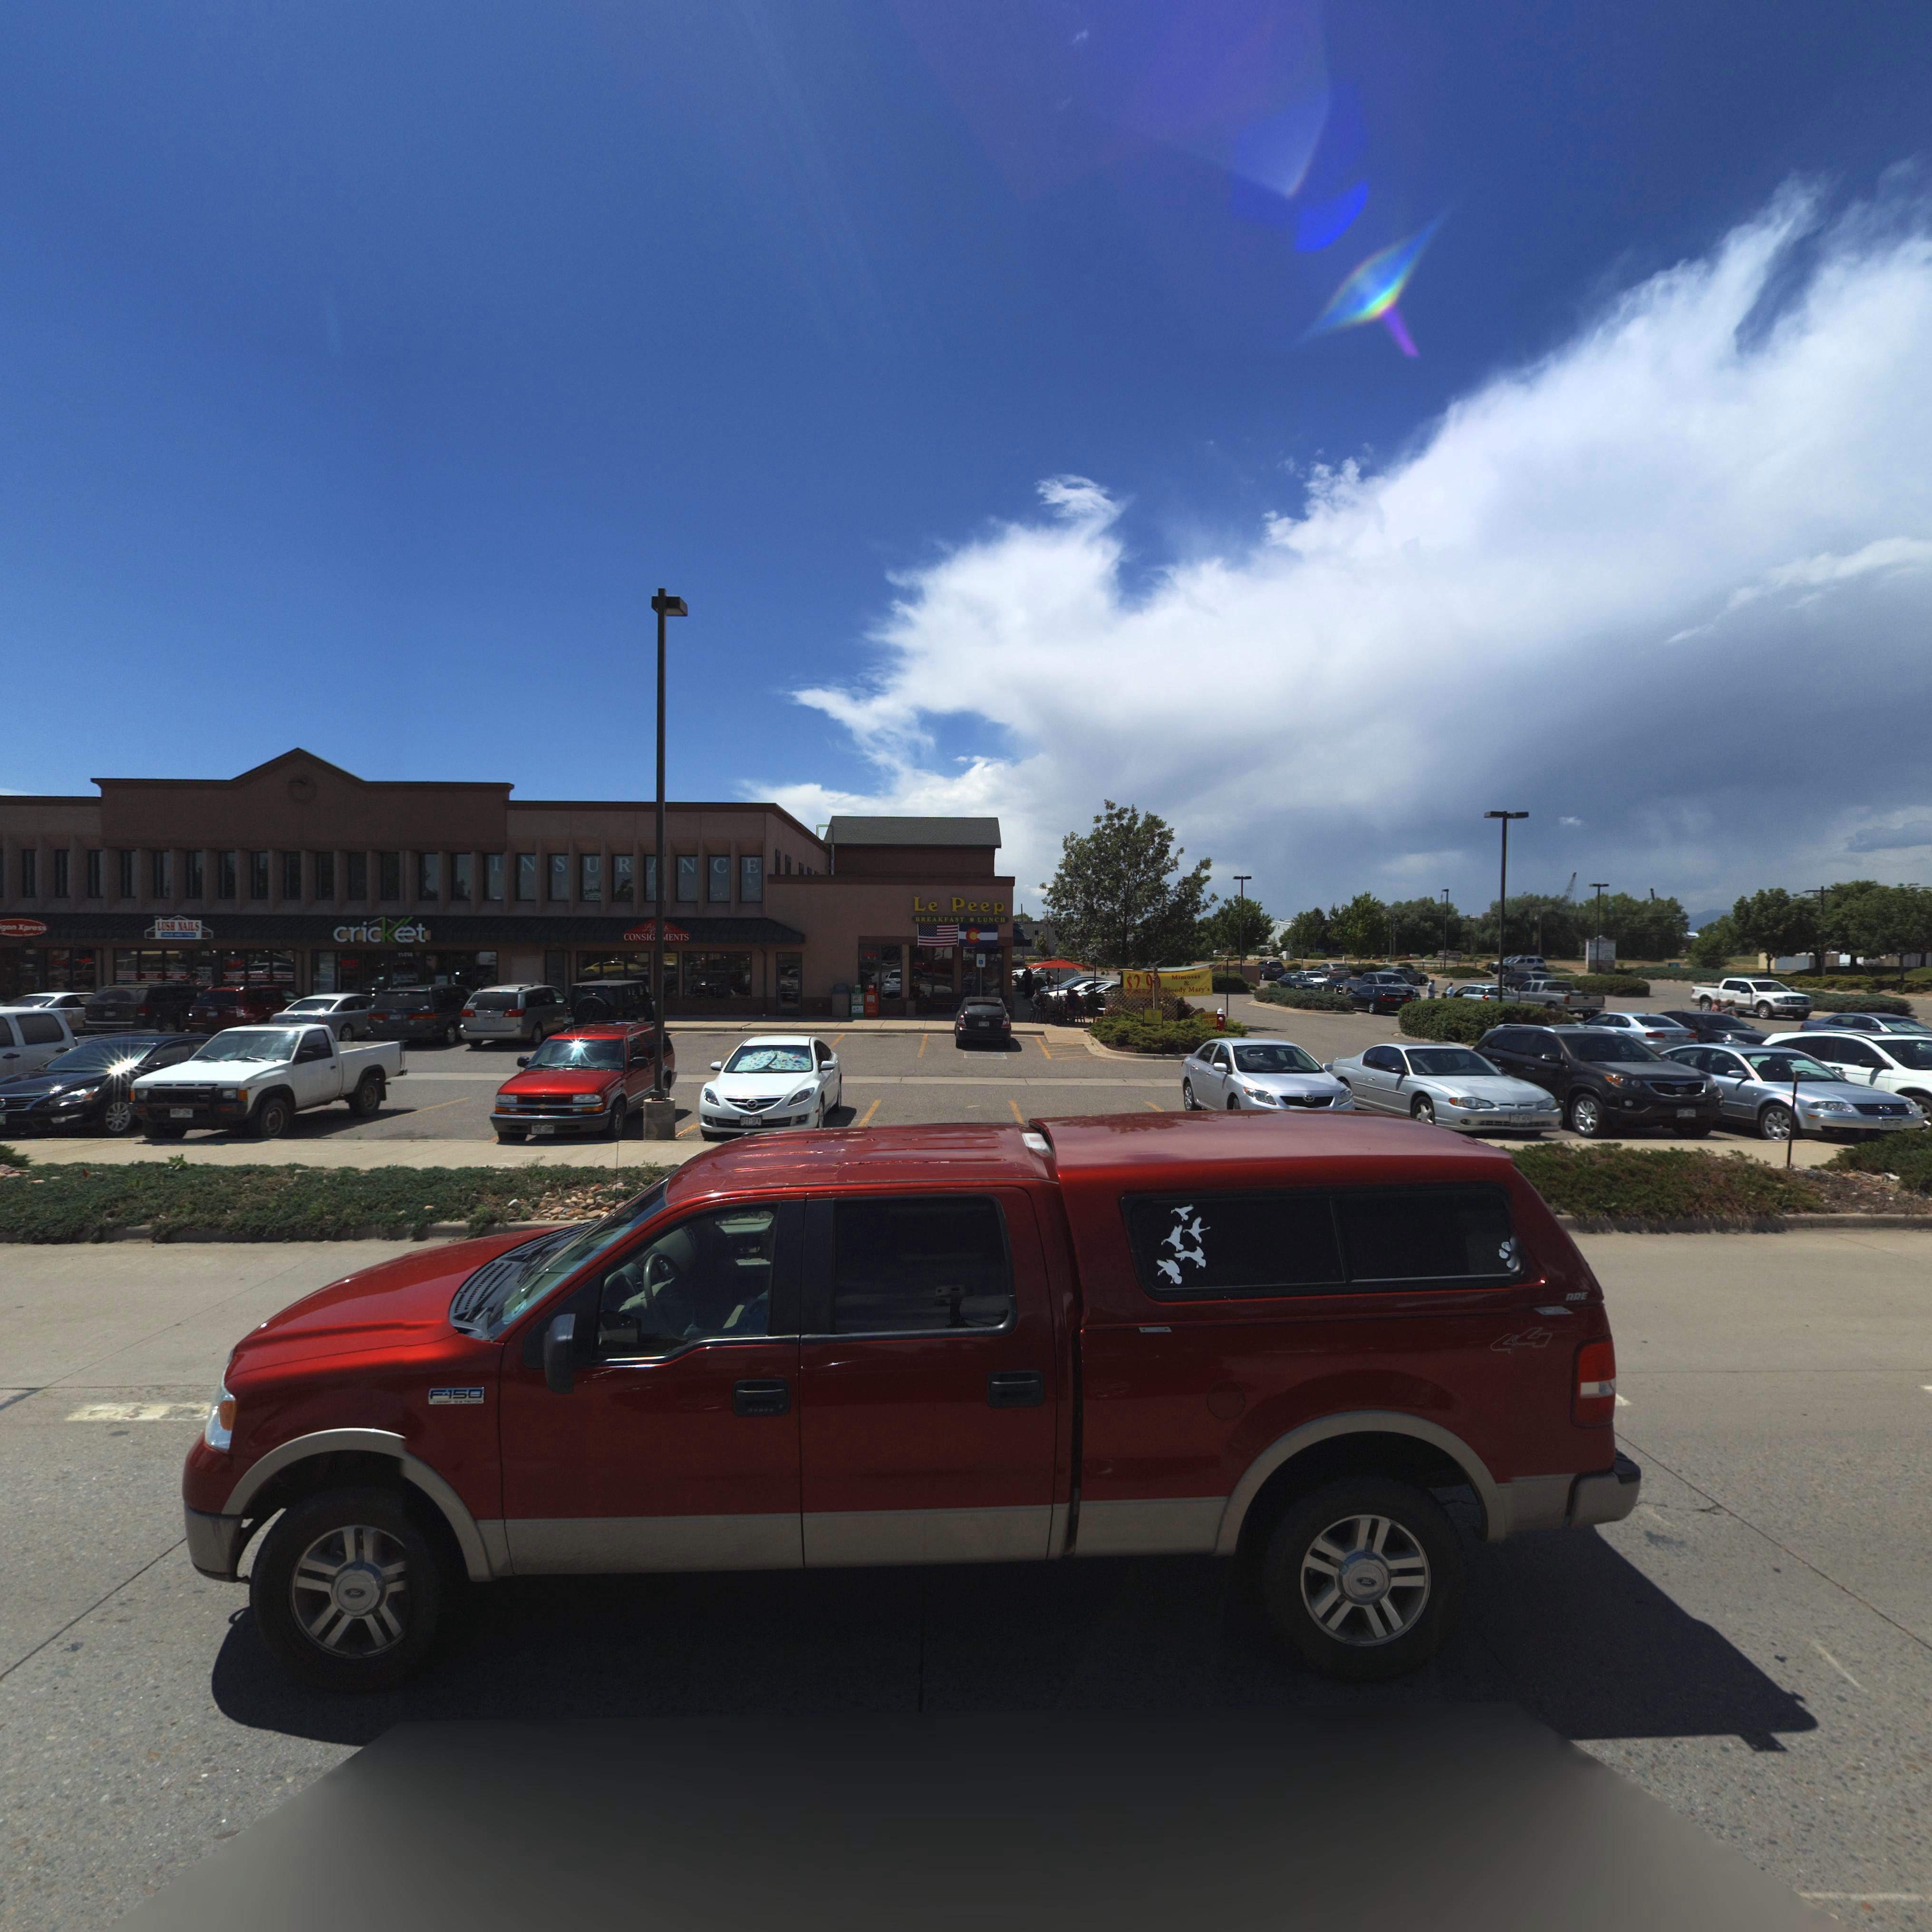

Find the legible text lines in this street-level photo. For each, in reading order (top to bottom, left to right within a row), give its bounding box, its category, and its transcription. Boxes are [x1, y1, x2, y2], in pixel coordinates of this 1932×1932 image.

[914, 896, 1005, 915] BusinessName: Le Peep
[1, 924, 48, 933] BusinessName: gen Xpress
[156, 921, 199, 931] BusinessName: LUSH NAILS
[332, 916, 427, 943] BusinessName: cricK*t
[643, 923, 670, 932] BusinessName: Lif****le
[623, 933, 689, 941] BusinessName: CONSIG**ENTS